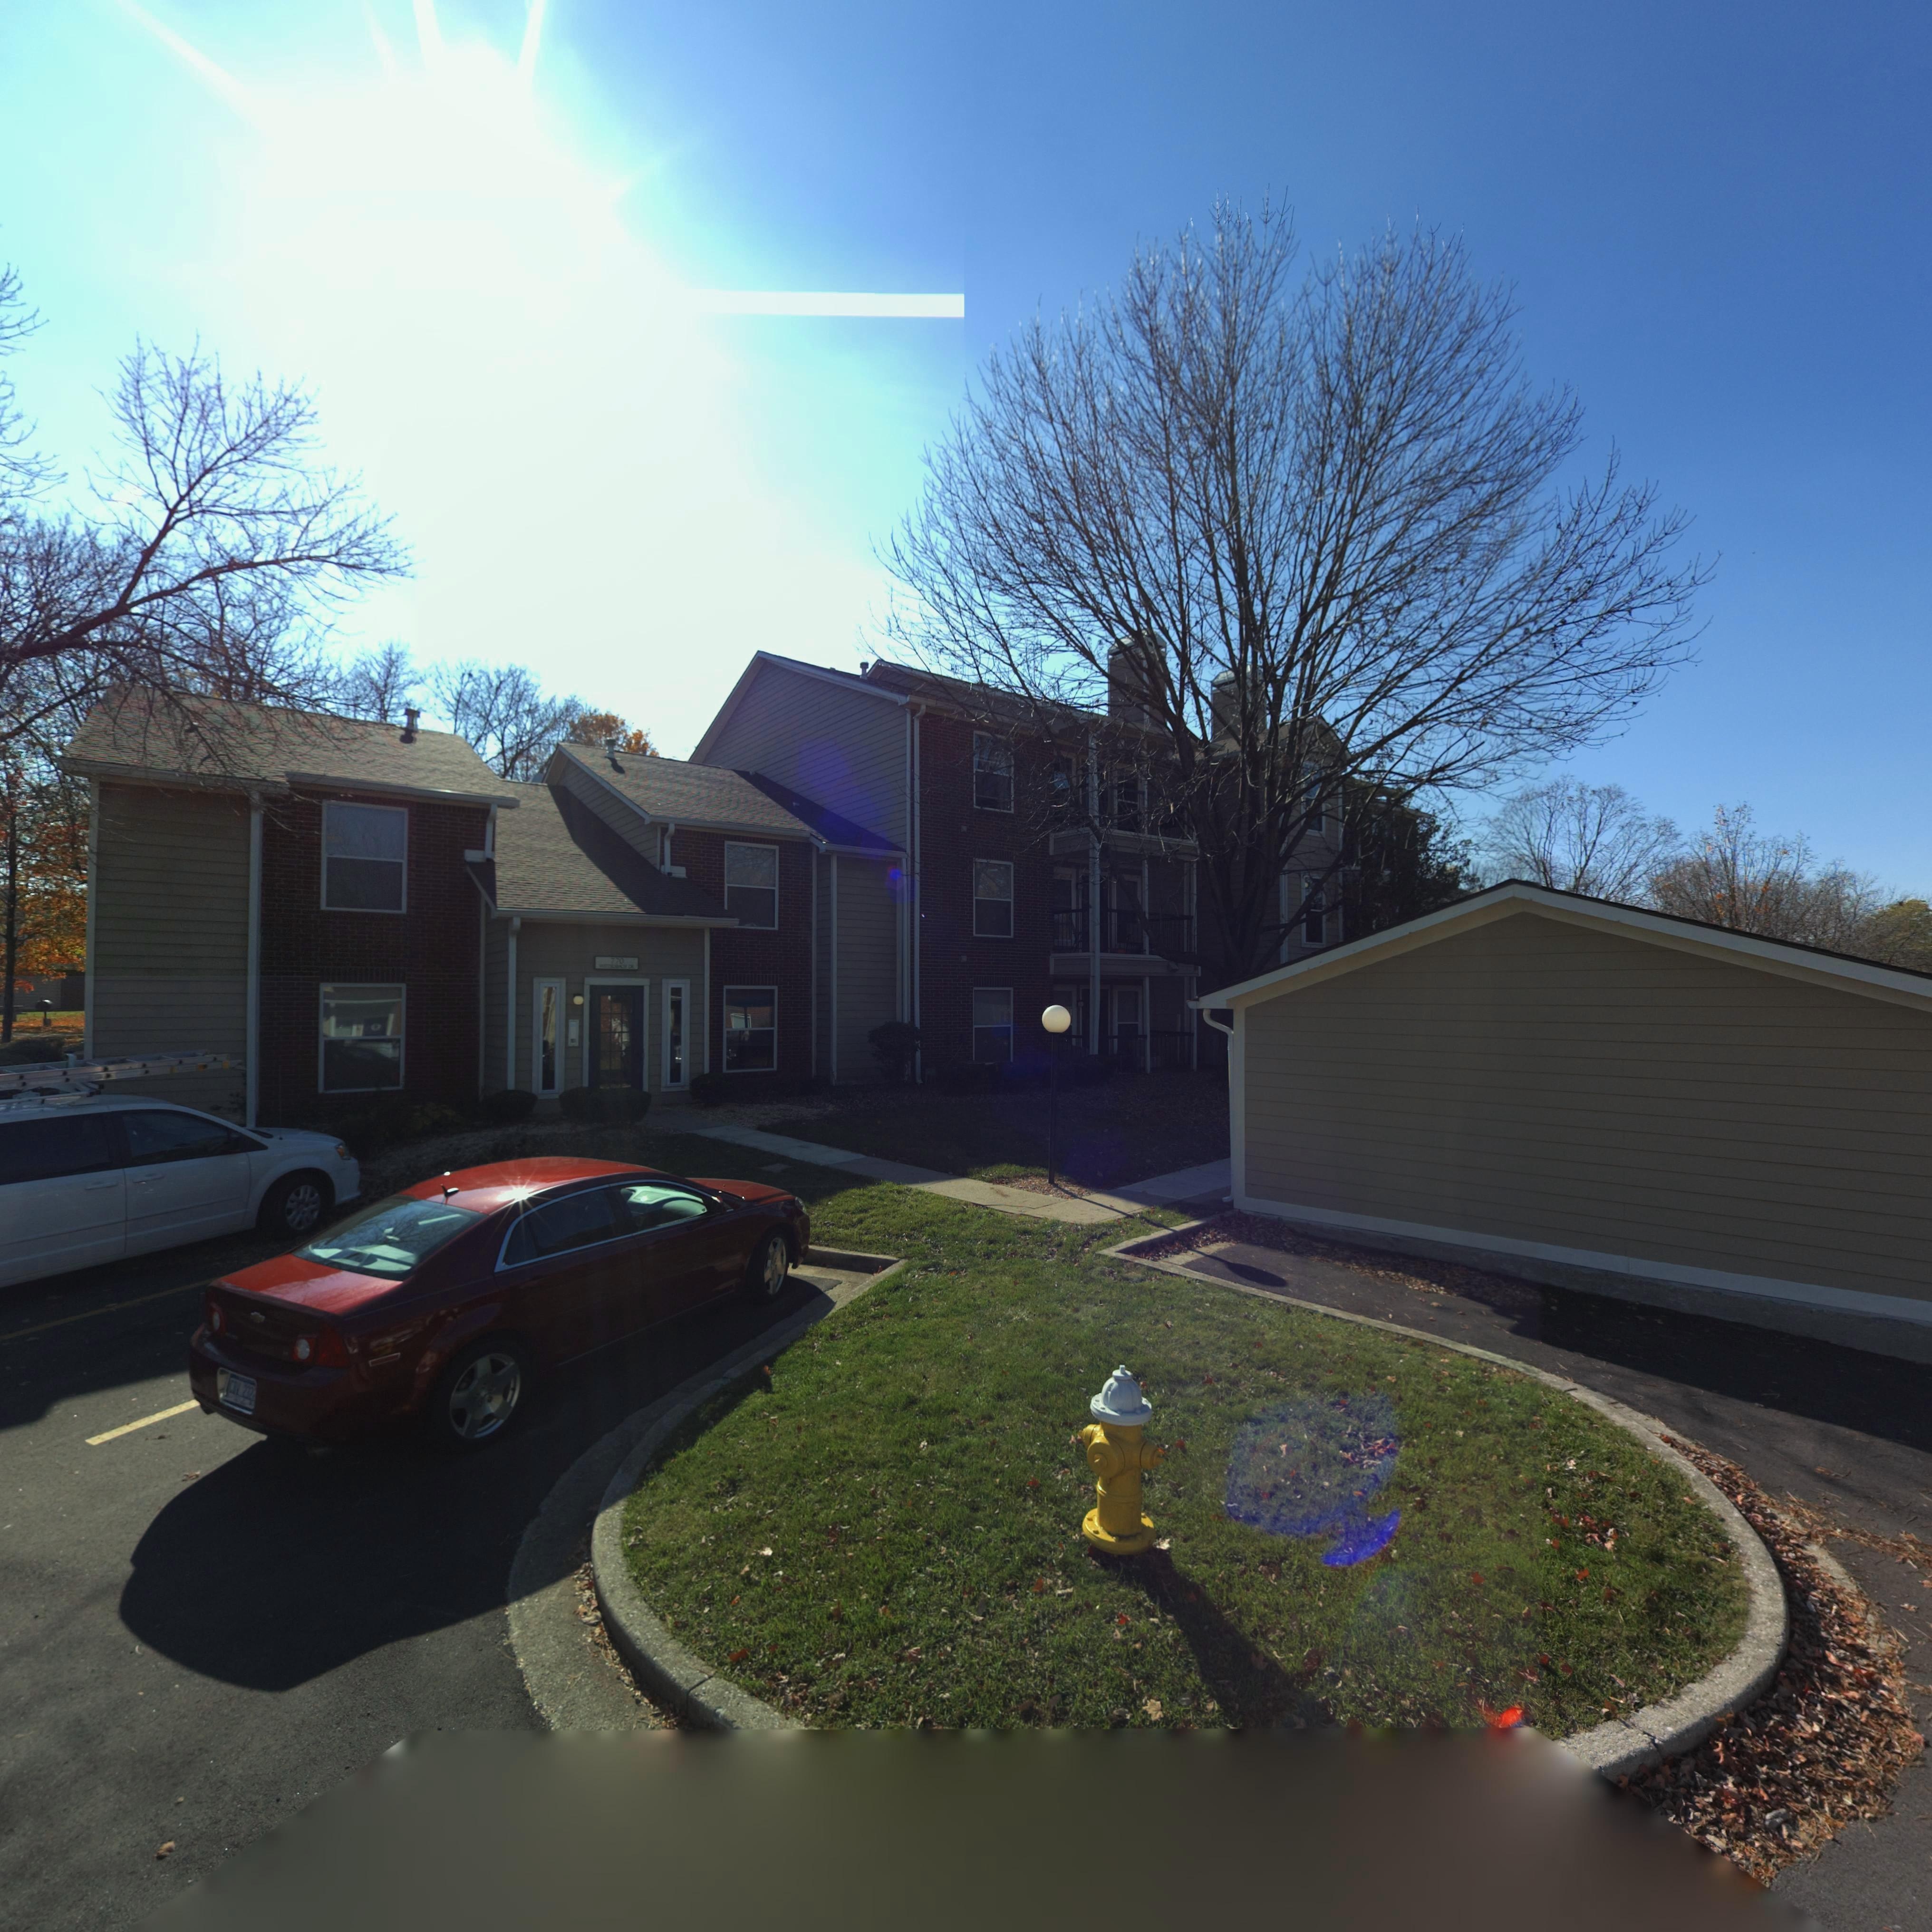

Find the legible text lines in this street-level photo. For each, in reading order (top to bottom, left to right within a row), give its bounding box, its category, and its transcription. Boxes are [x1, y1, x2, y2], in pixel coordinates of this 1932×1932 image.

[609, 957, 625, 965] StreetNumber: 770